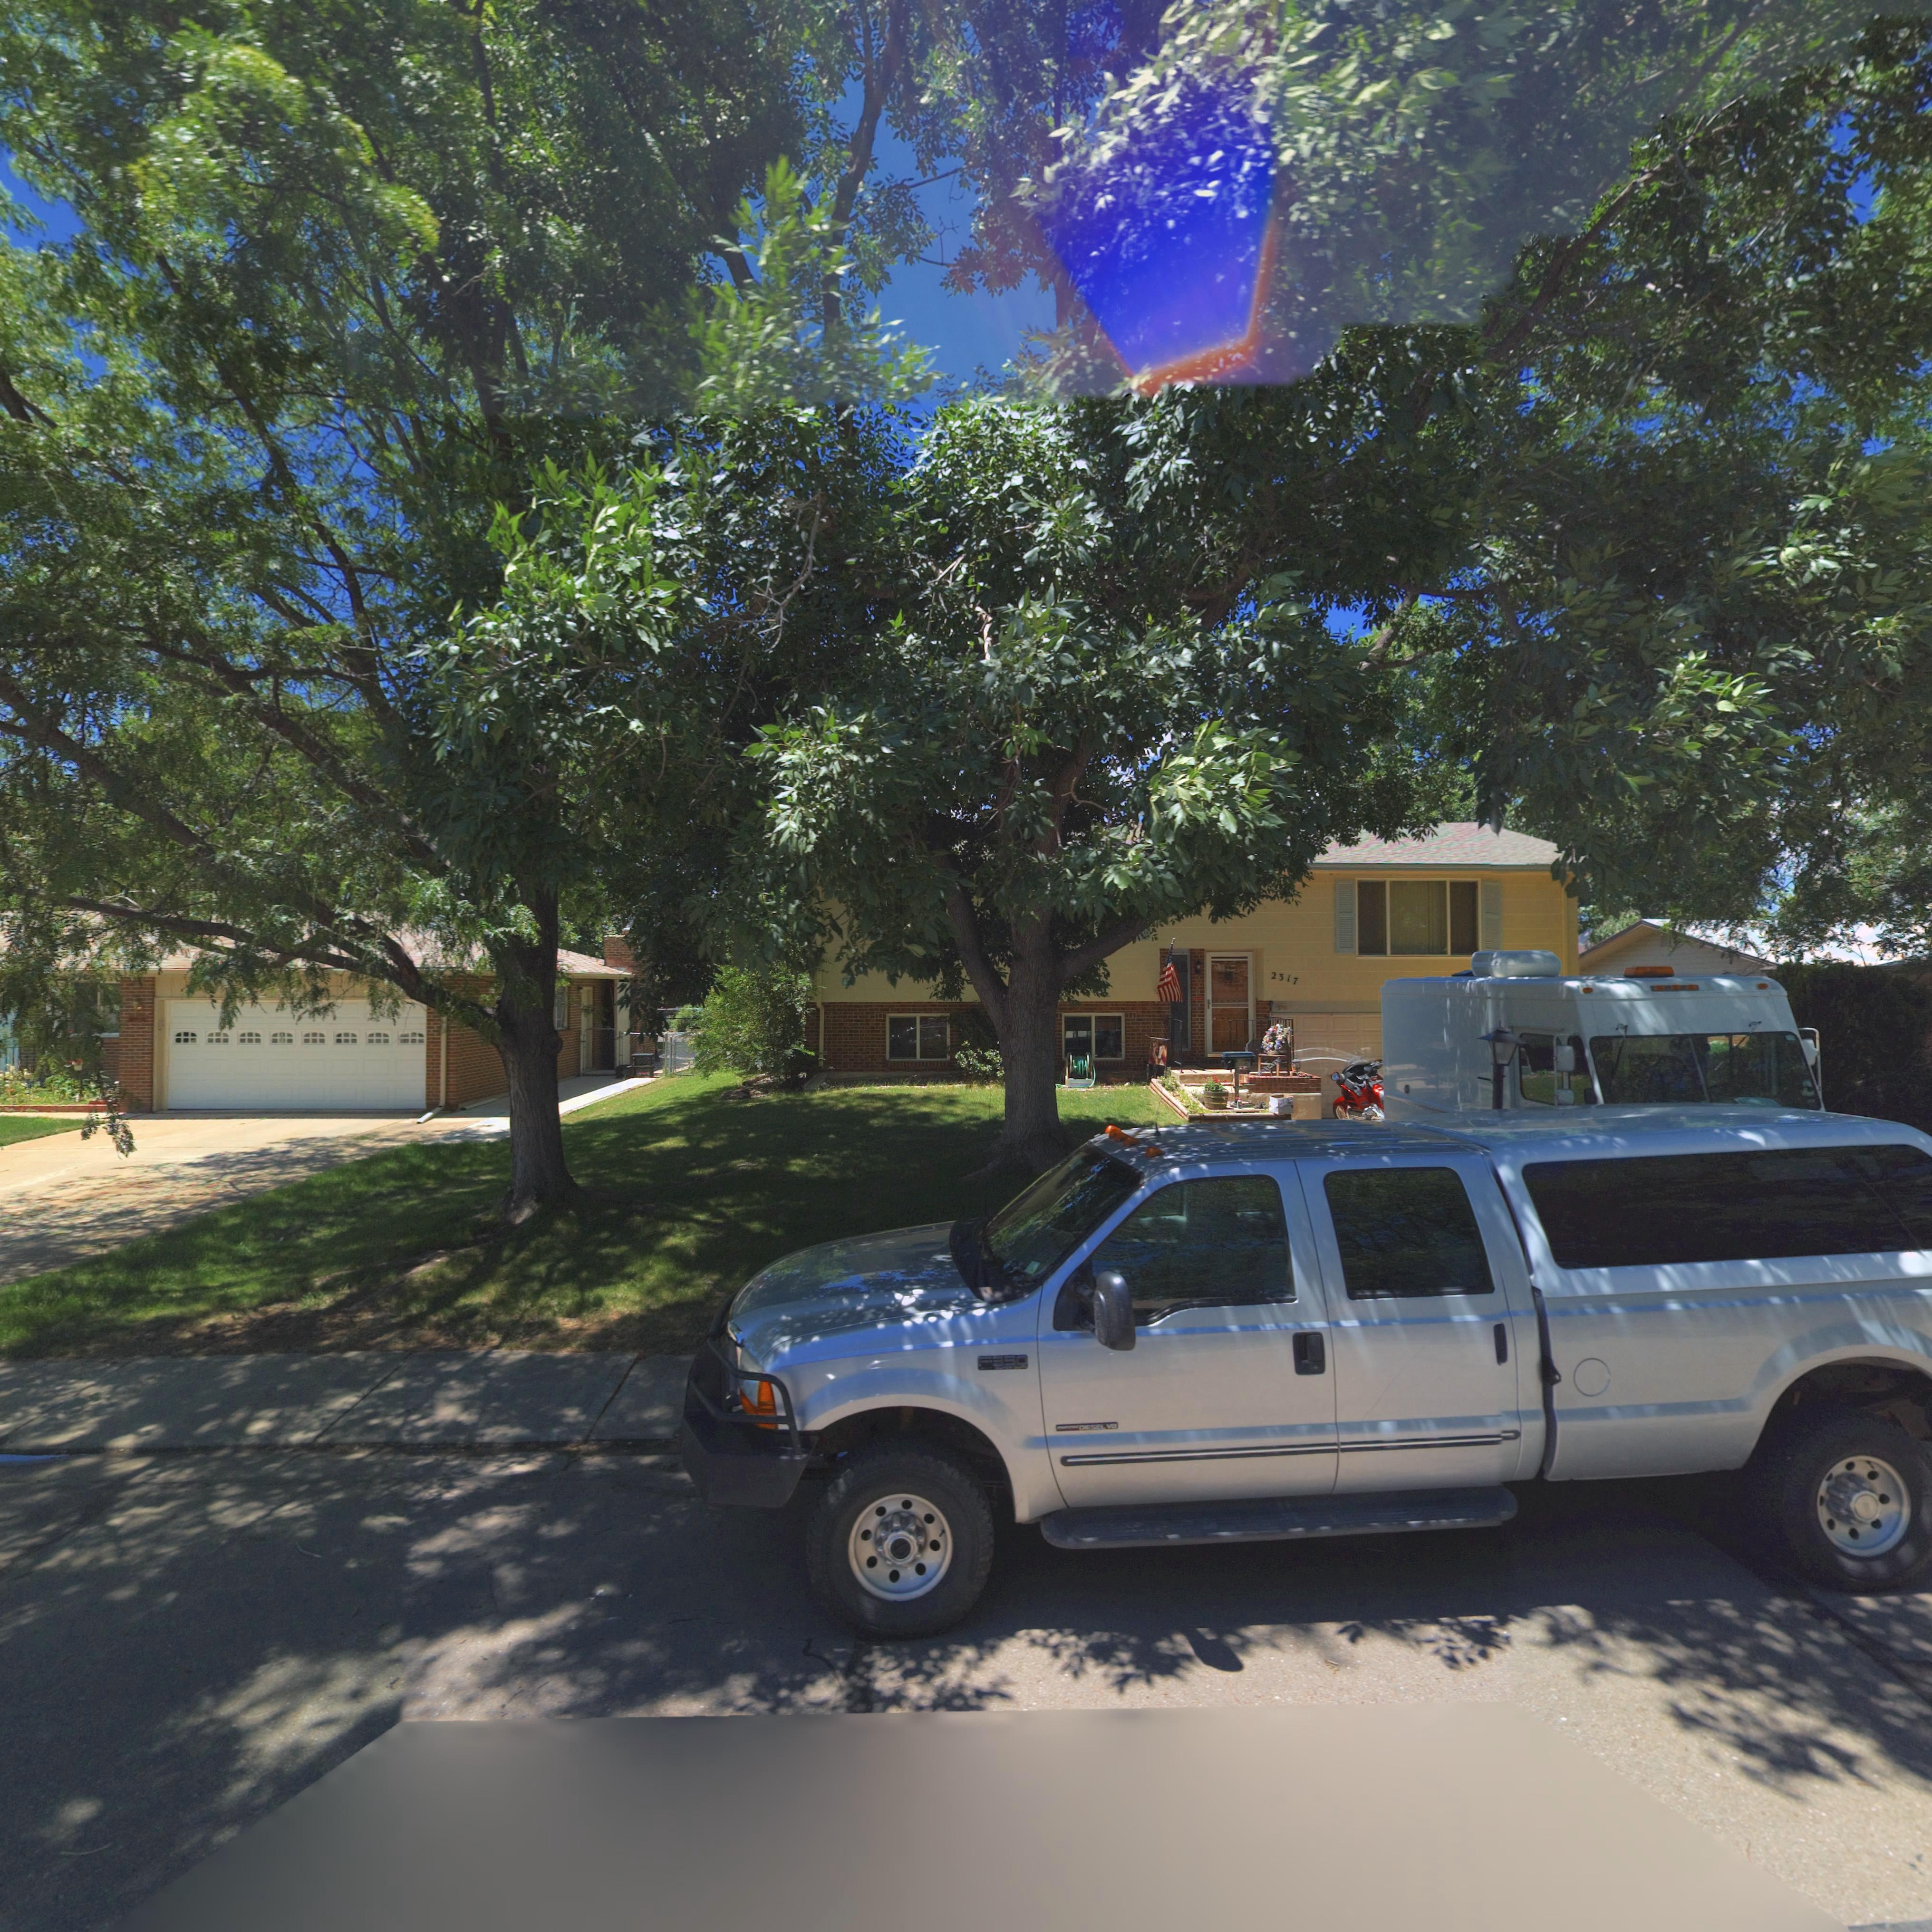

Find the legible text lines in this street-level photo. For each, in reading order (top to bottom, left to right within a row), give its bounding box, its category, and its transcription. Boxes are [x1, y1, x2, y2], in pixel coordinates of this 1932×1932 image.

[1271, 971, 1300, 985] StreetNumber: 2317